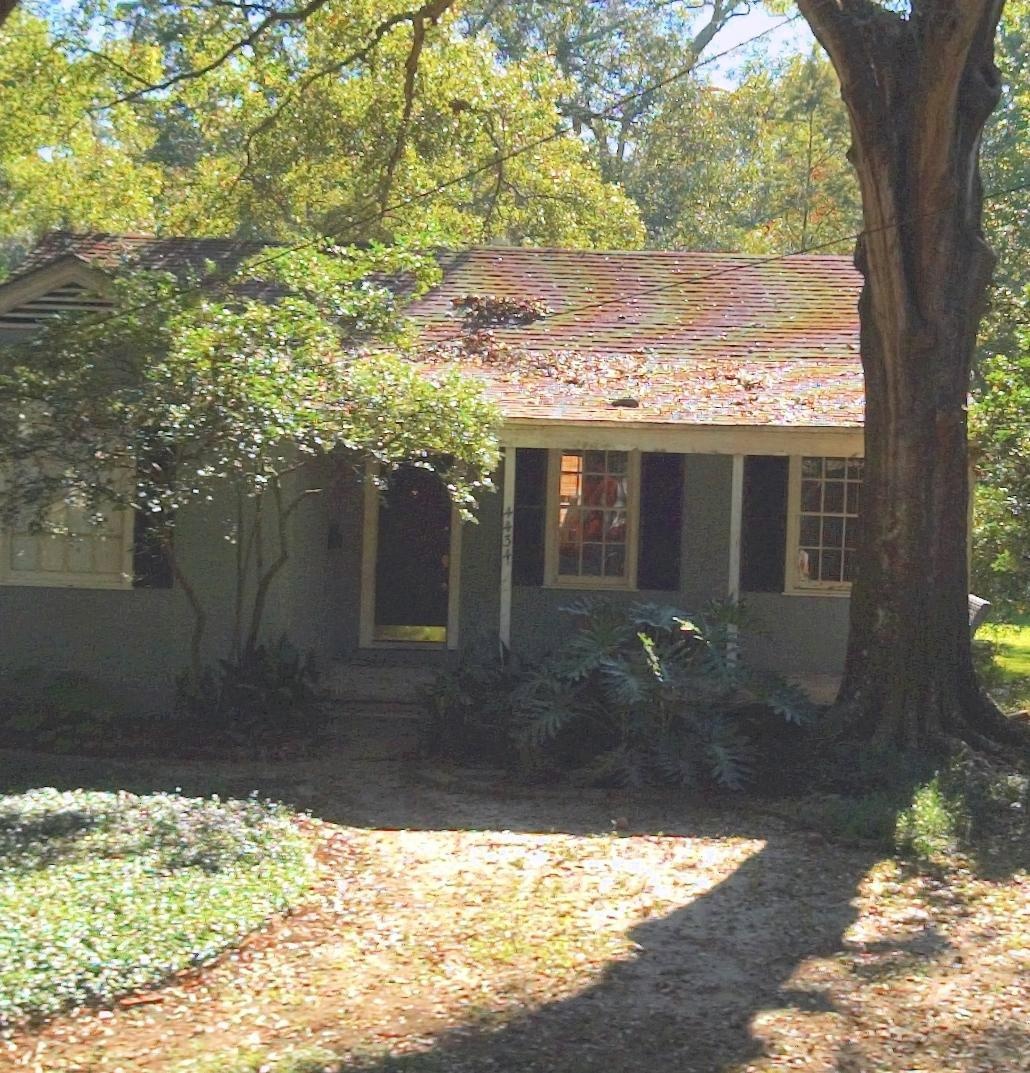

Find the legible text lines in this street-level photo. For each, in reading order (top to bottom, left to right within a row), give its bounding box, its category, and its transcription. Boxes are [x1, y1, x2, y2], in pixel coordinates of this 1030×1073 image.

[499, 504, 515, 566] StreetNumber: 4434